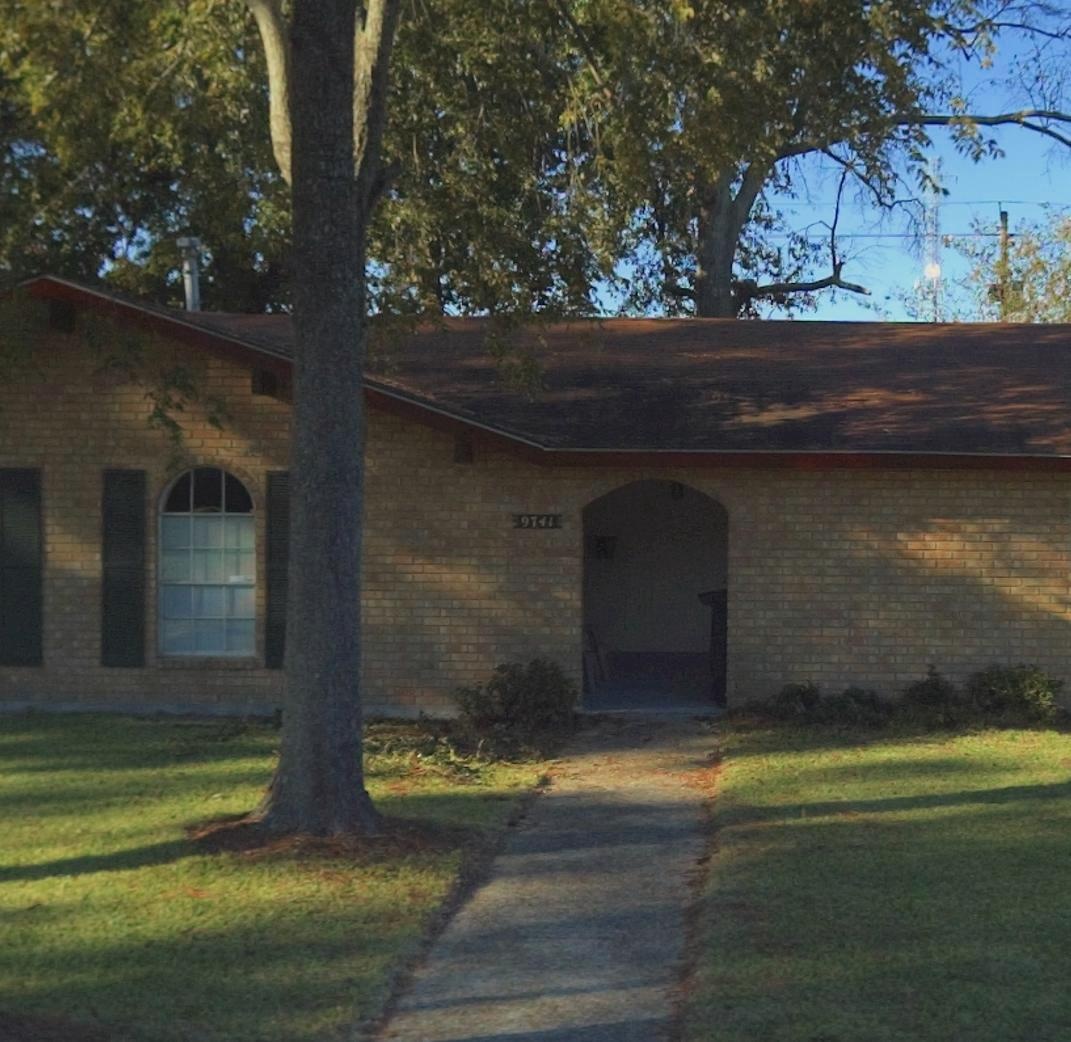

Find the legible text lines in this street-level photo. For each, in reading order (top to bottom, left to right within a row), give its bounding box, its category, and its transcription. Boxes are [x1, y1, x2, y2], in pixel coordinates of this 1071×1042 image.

[520, 515, 554, 528] StreetNumber: 9741